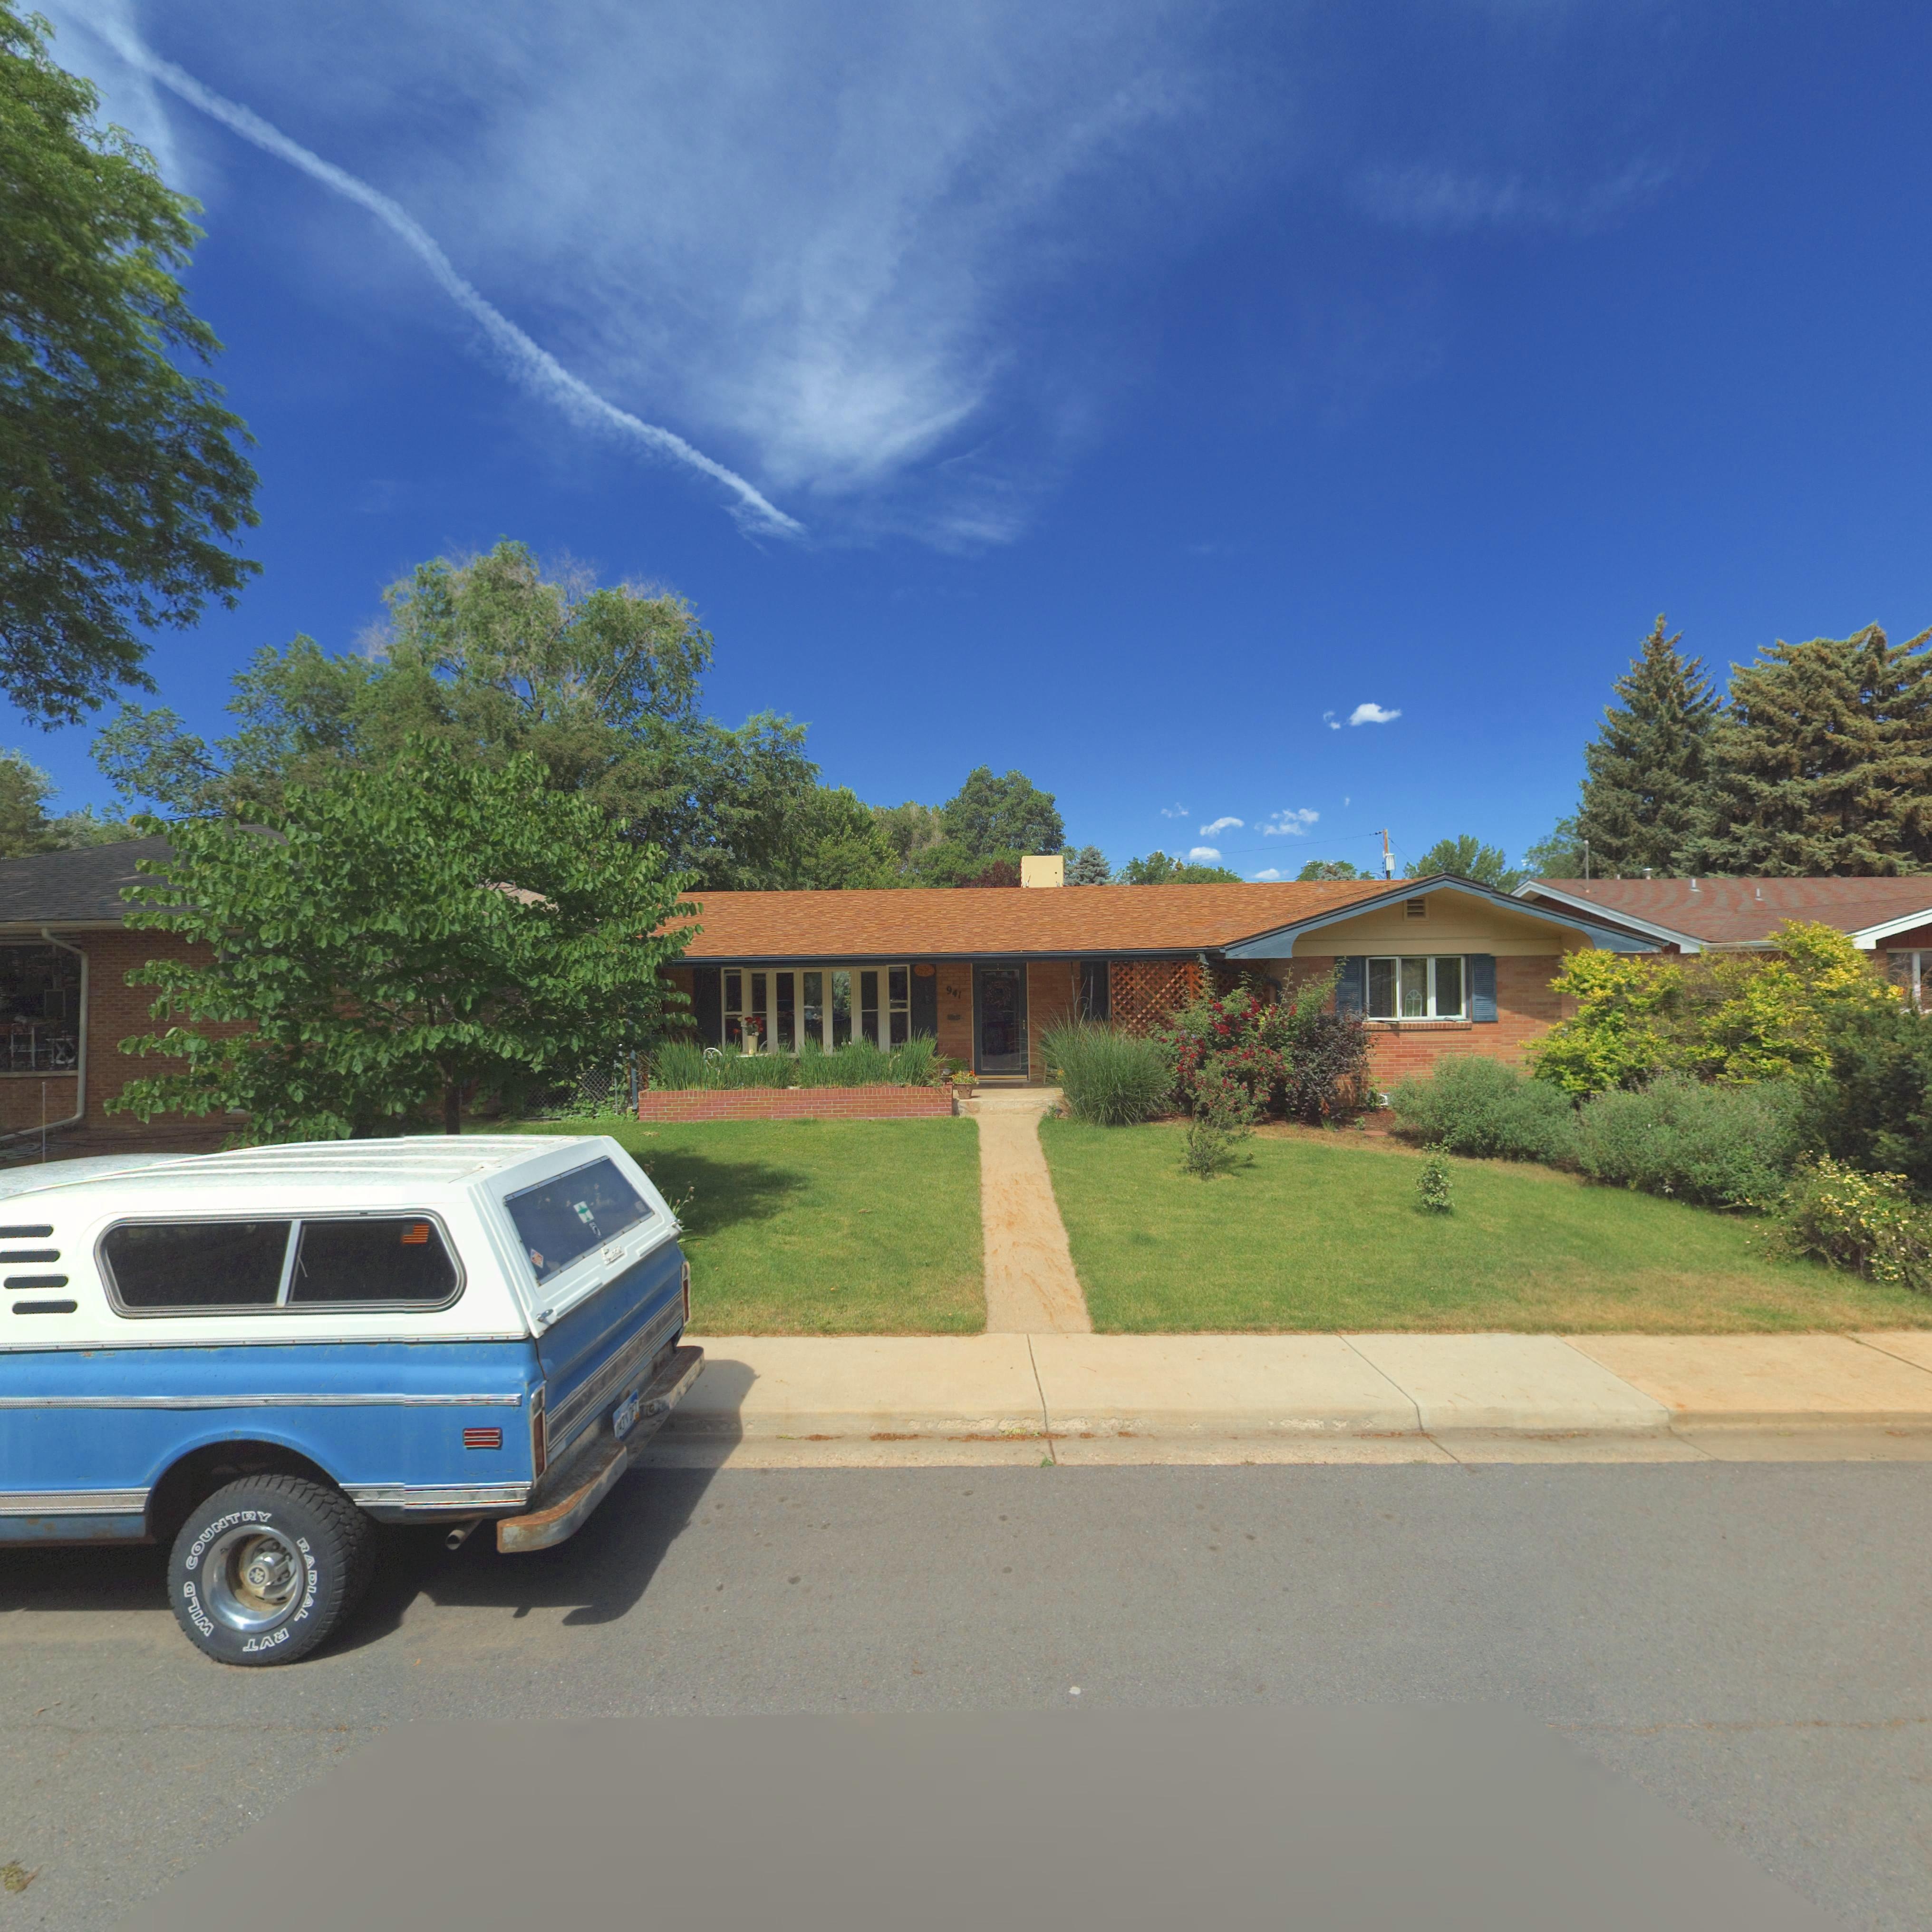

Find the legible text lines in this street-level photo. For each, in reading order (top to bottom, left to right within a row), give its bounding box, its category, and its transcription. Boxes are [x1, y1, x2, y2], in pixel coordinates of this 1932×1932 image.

[946, 985, 961, 999] StreetNumber: 941